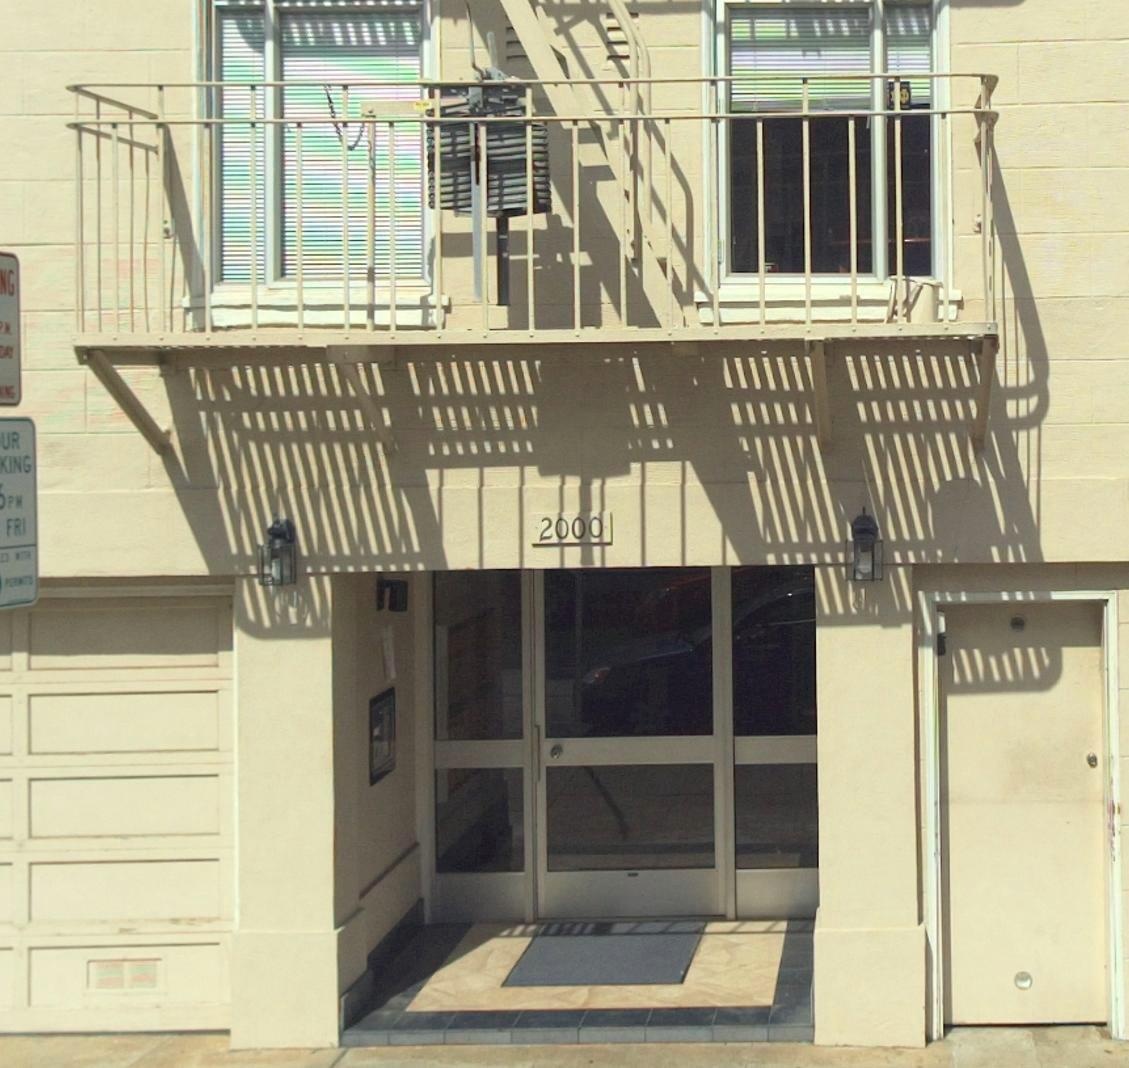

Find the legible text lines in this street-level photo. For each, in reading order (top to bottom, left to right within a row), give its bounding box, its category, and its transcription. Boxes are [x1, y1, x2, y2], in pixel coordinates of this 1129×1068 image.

[0, 266, 17, 300] None: NG
[0, 428, 23, 453] None: UR
[0, 452, 35, 477] None: KING
[6, 492, 25, 511] None: P M
[3, 514, 30, 541] None: FRI
[537, 515, 605, 543] StreetNumber: 2000